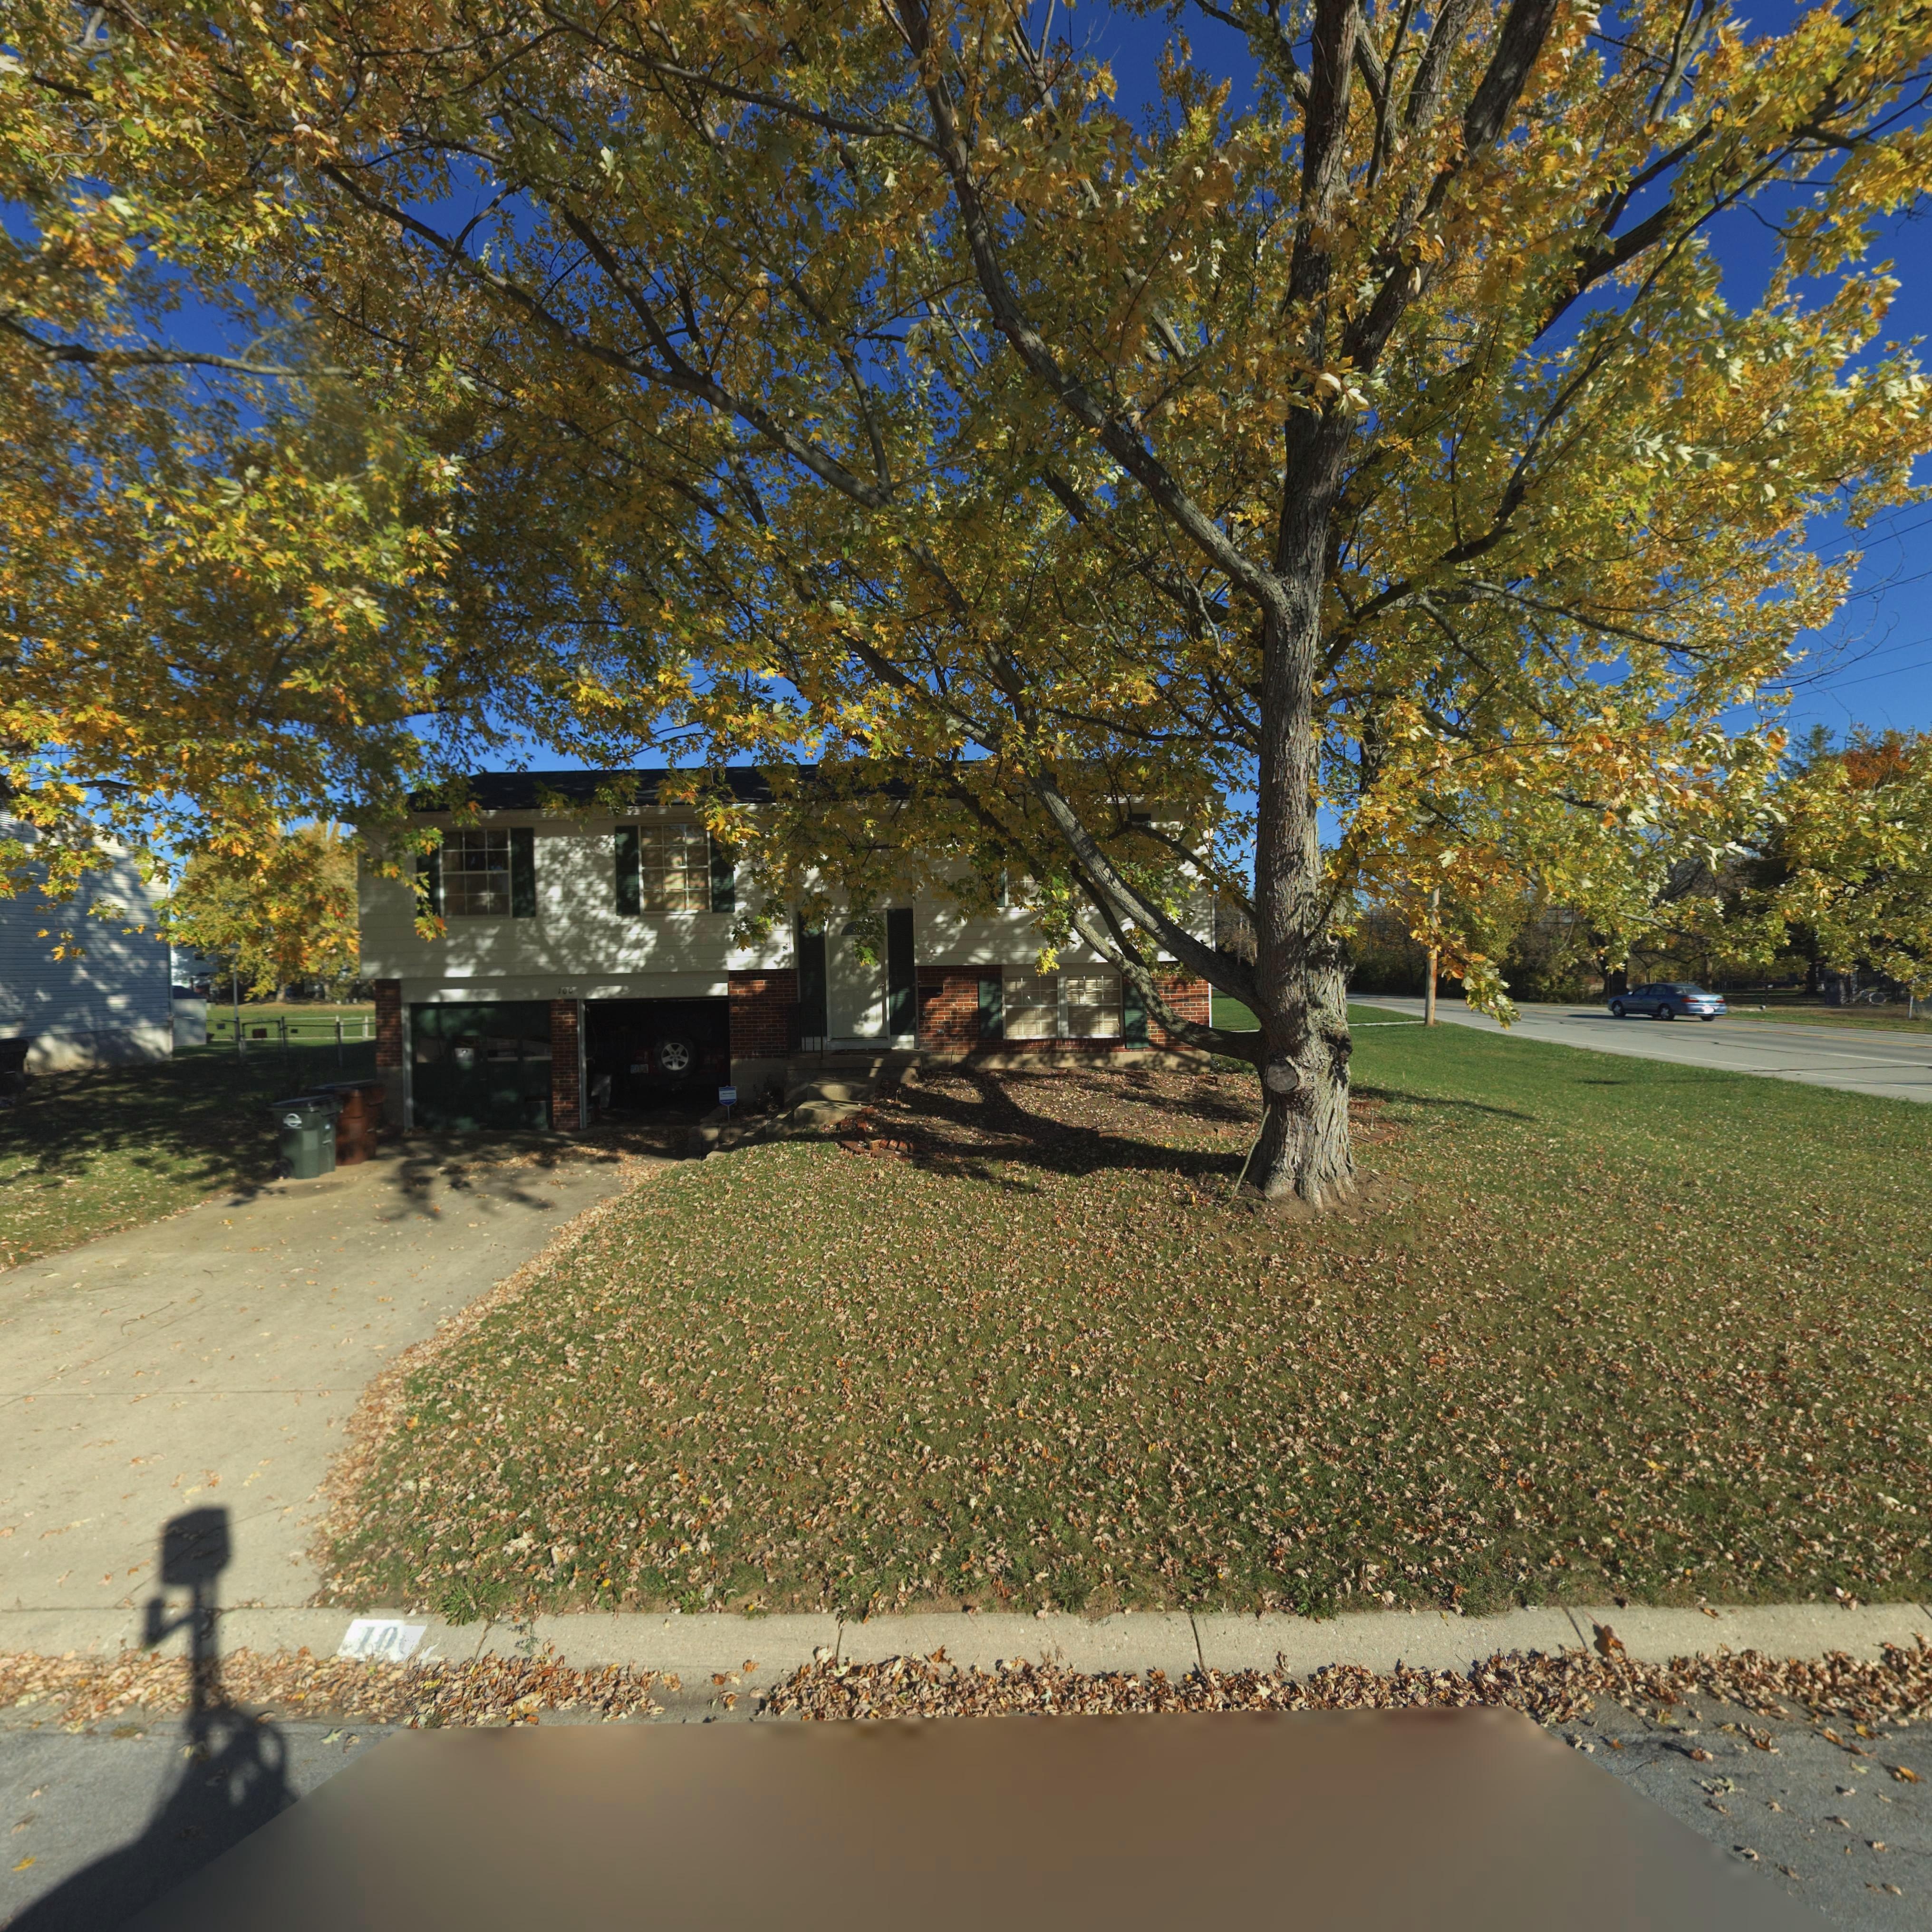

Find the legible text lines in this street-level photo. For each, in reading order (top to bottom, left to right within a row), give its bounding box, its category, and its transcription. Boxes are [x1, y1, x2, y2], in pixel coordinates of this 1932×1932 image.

[557, 986, 573, 995] StreetNumber: 100
[352, 1626, 399, 1654] StreetNumber: 10